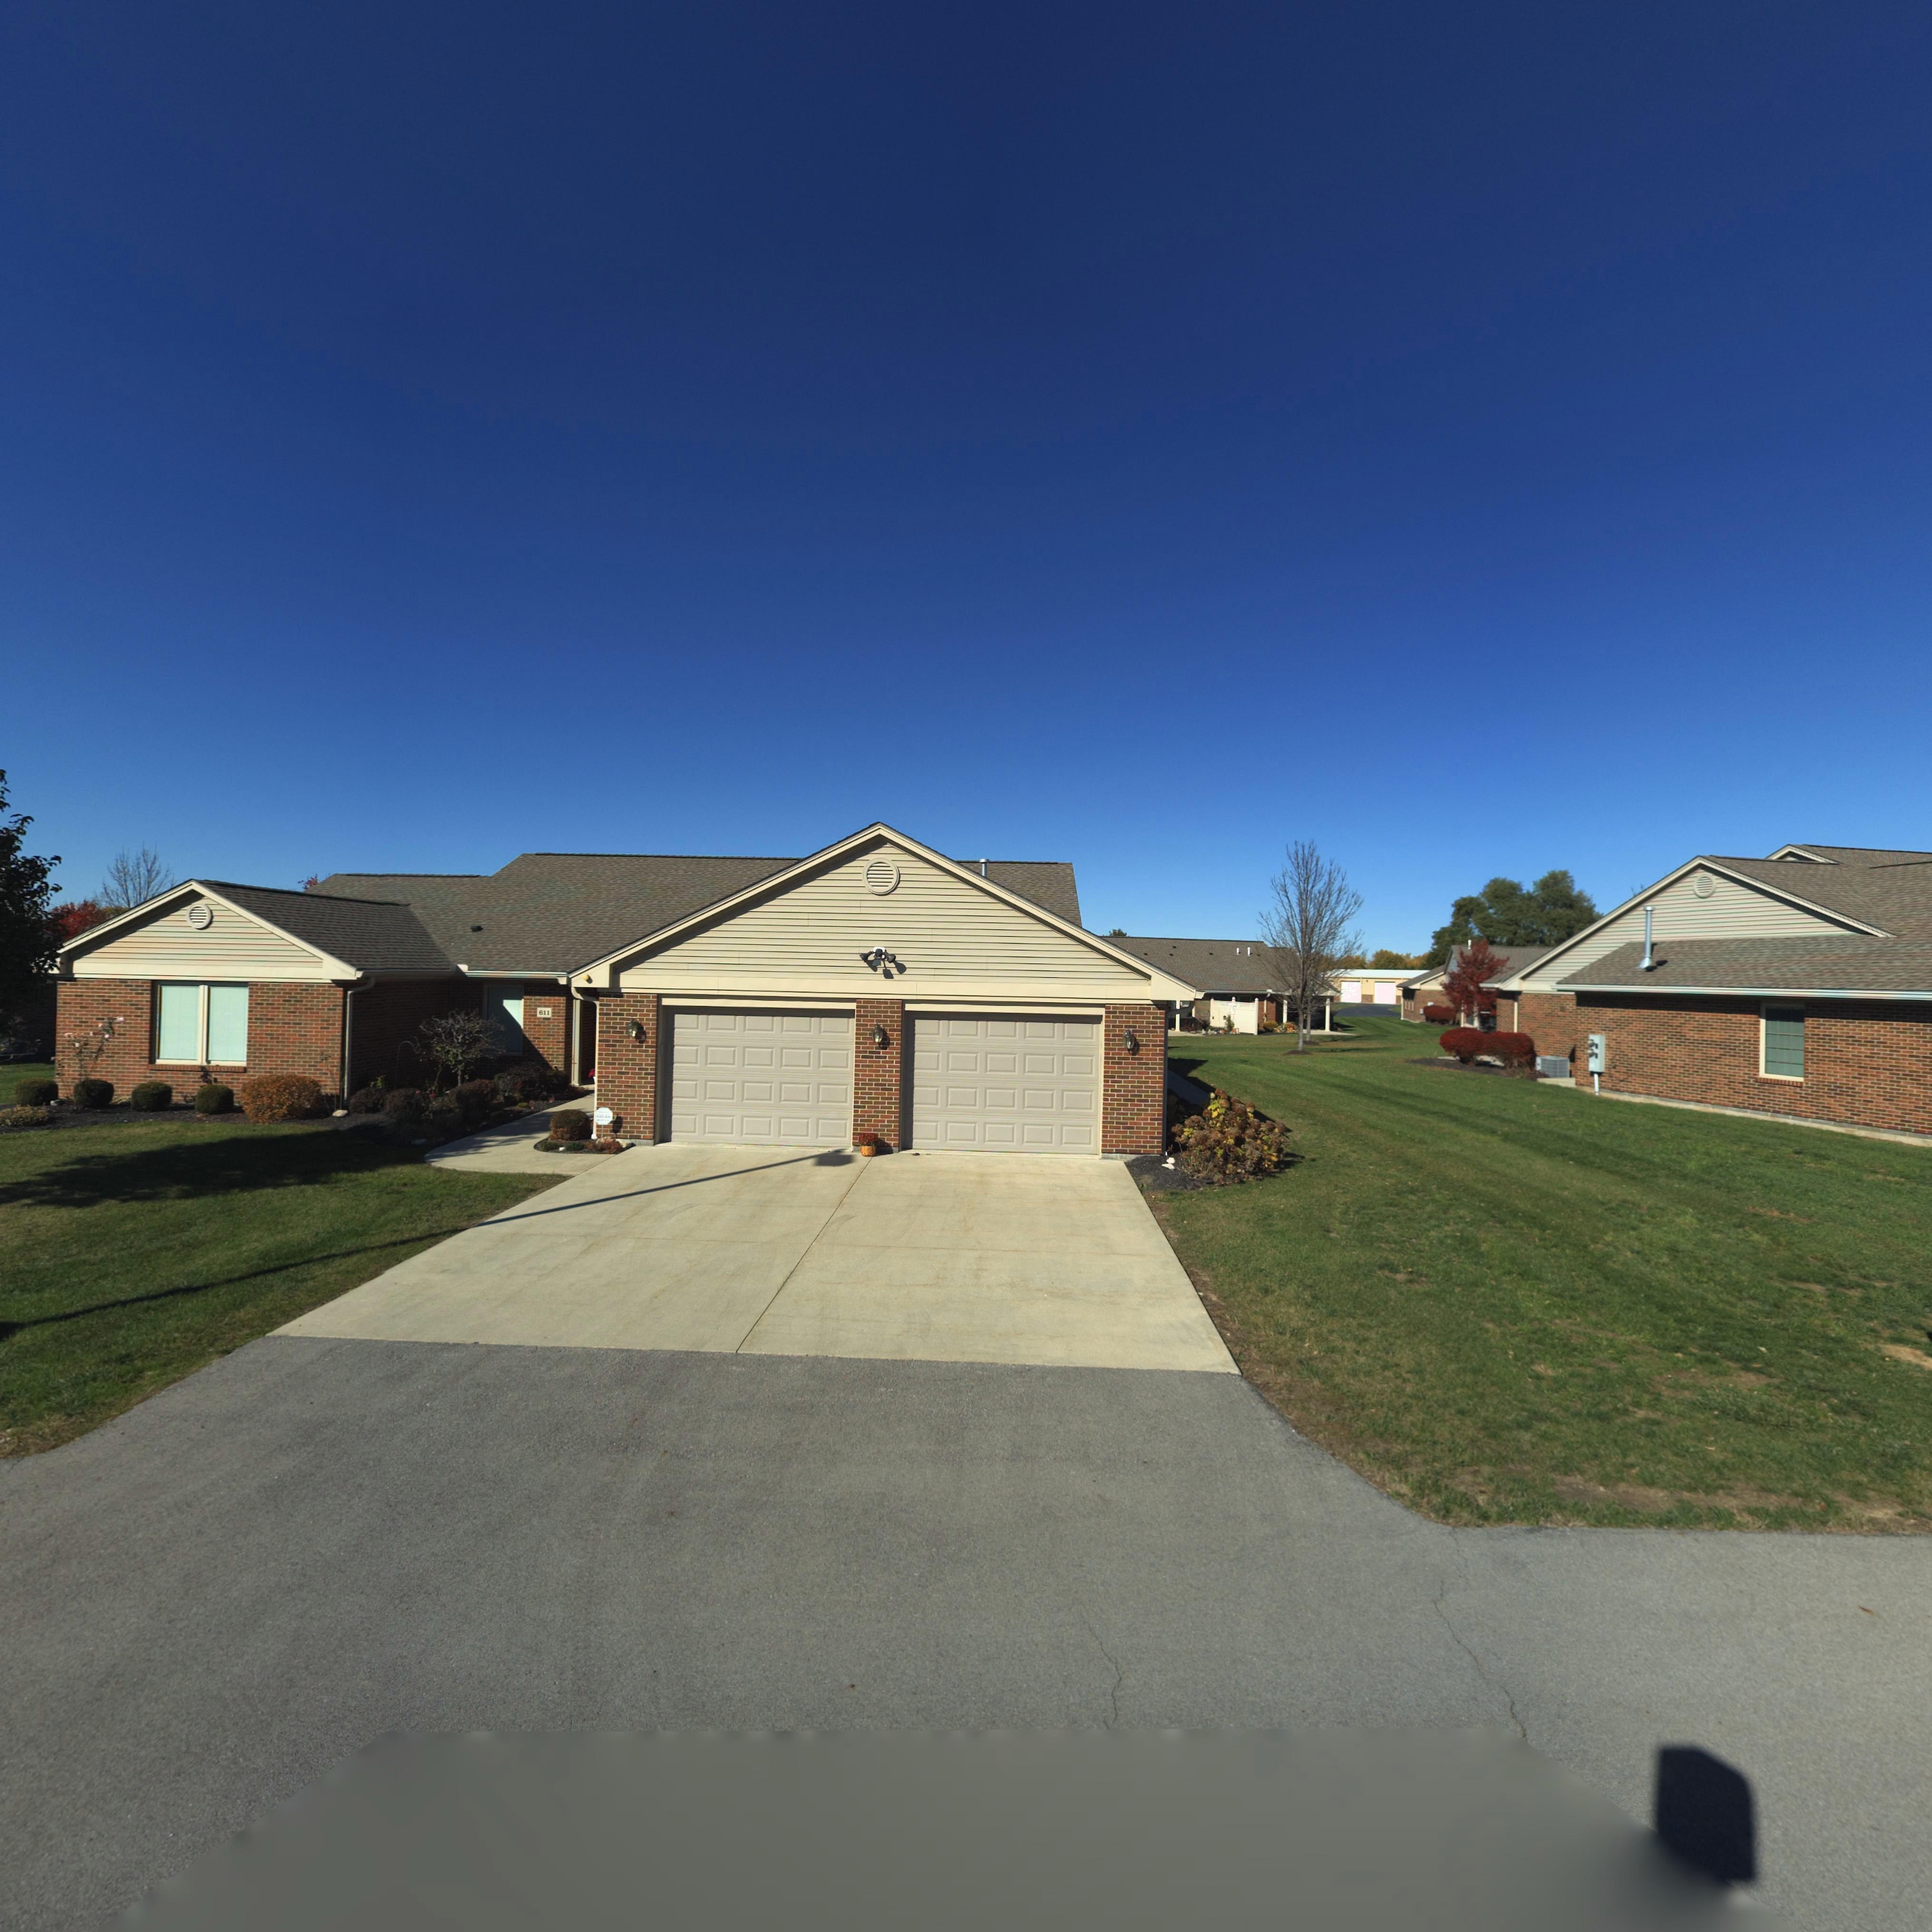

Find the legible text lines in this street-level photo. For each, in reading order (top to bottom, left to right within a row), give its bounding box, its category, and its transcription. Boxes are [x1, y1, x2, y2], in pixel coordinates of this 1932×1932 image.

[539, 1009, 550, 1015] StreetNumber: 611